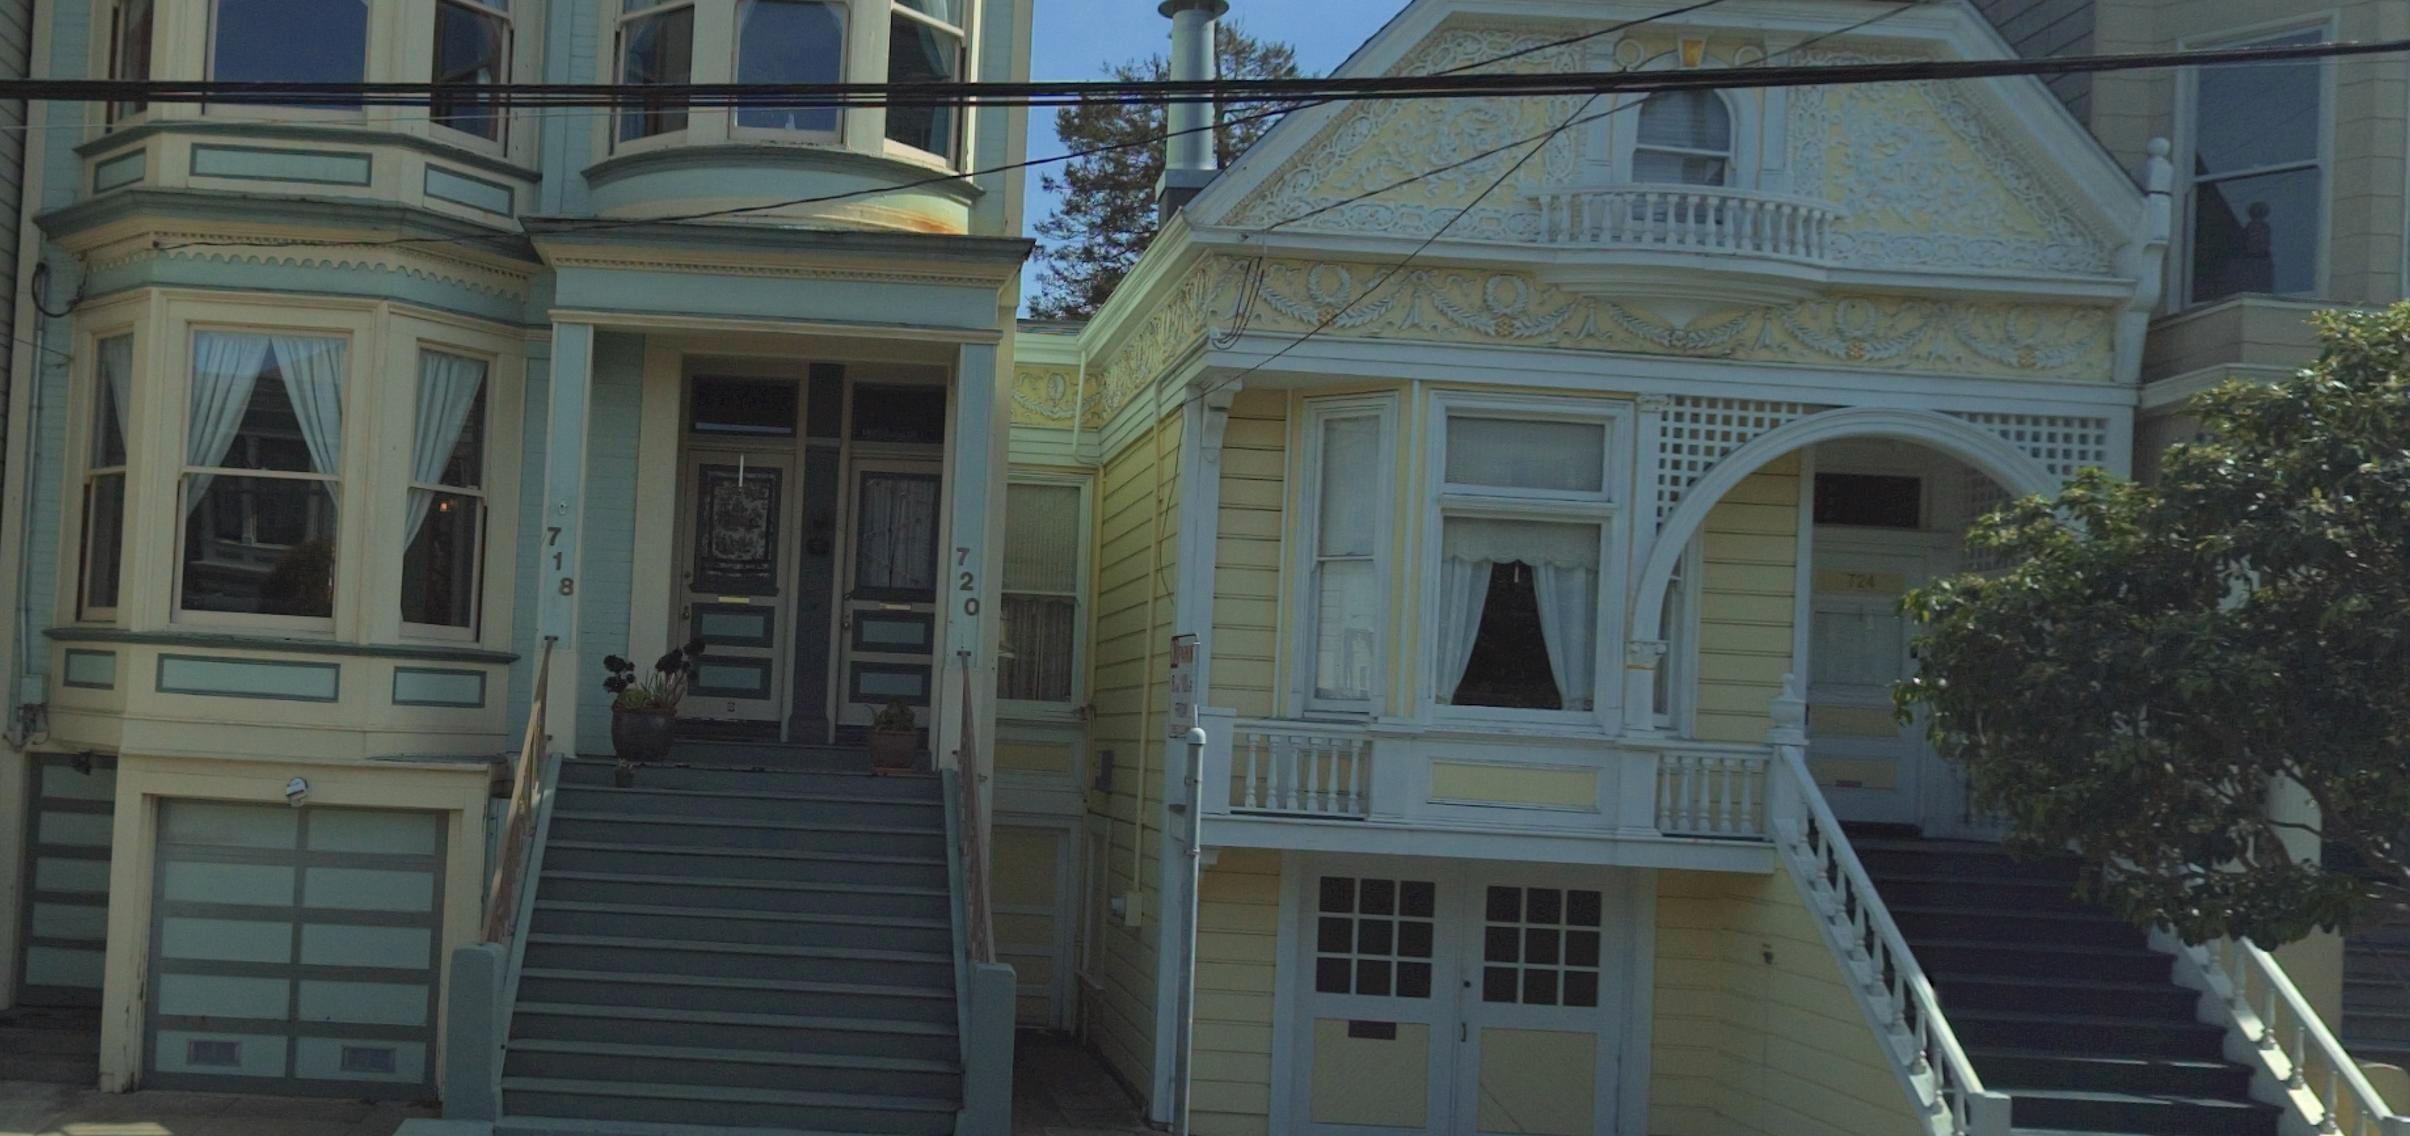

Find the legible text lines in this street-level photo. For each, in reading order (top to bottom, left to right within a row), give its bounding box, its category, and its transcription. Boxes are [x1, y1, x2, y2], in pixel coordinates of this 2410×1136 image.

[543, 524, 577, 599] StreetNumber: 718
[953, 545, 982, 619] StreetNumber: 720
[1845, 571, 1878, 592] StreetNumber: 724